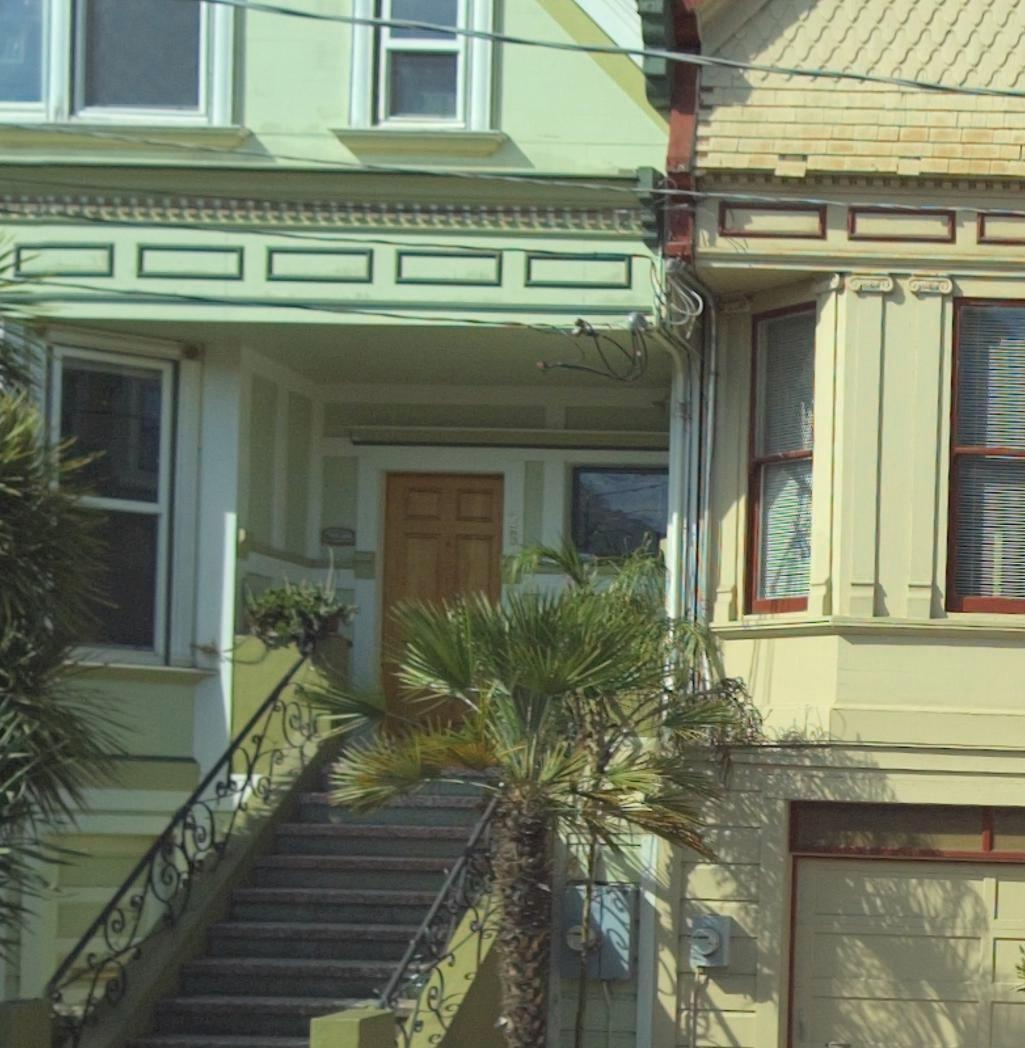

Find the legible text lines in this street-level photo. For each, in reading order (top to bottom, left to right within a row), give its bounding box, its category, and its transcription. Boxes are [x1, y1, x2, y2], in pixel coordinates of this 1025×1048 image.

[507, 512, 519, 549] StreetNumber: 28